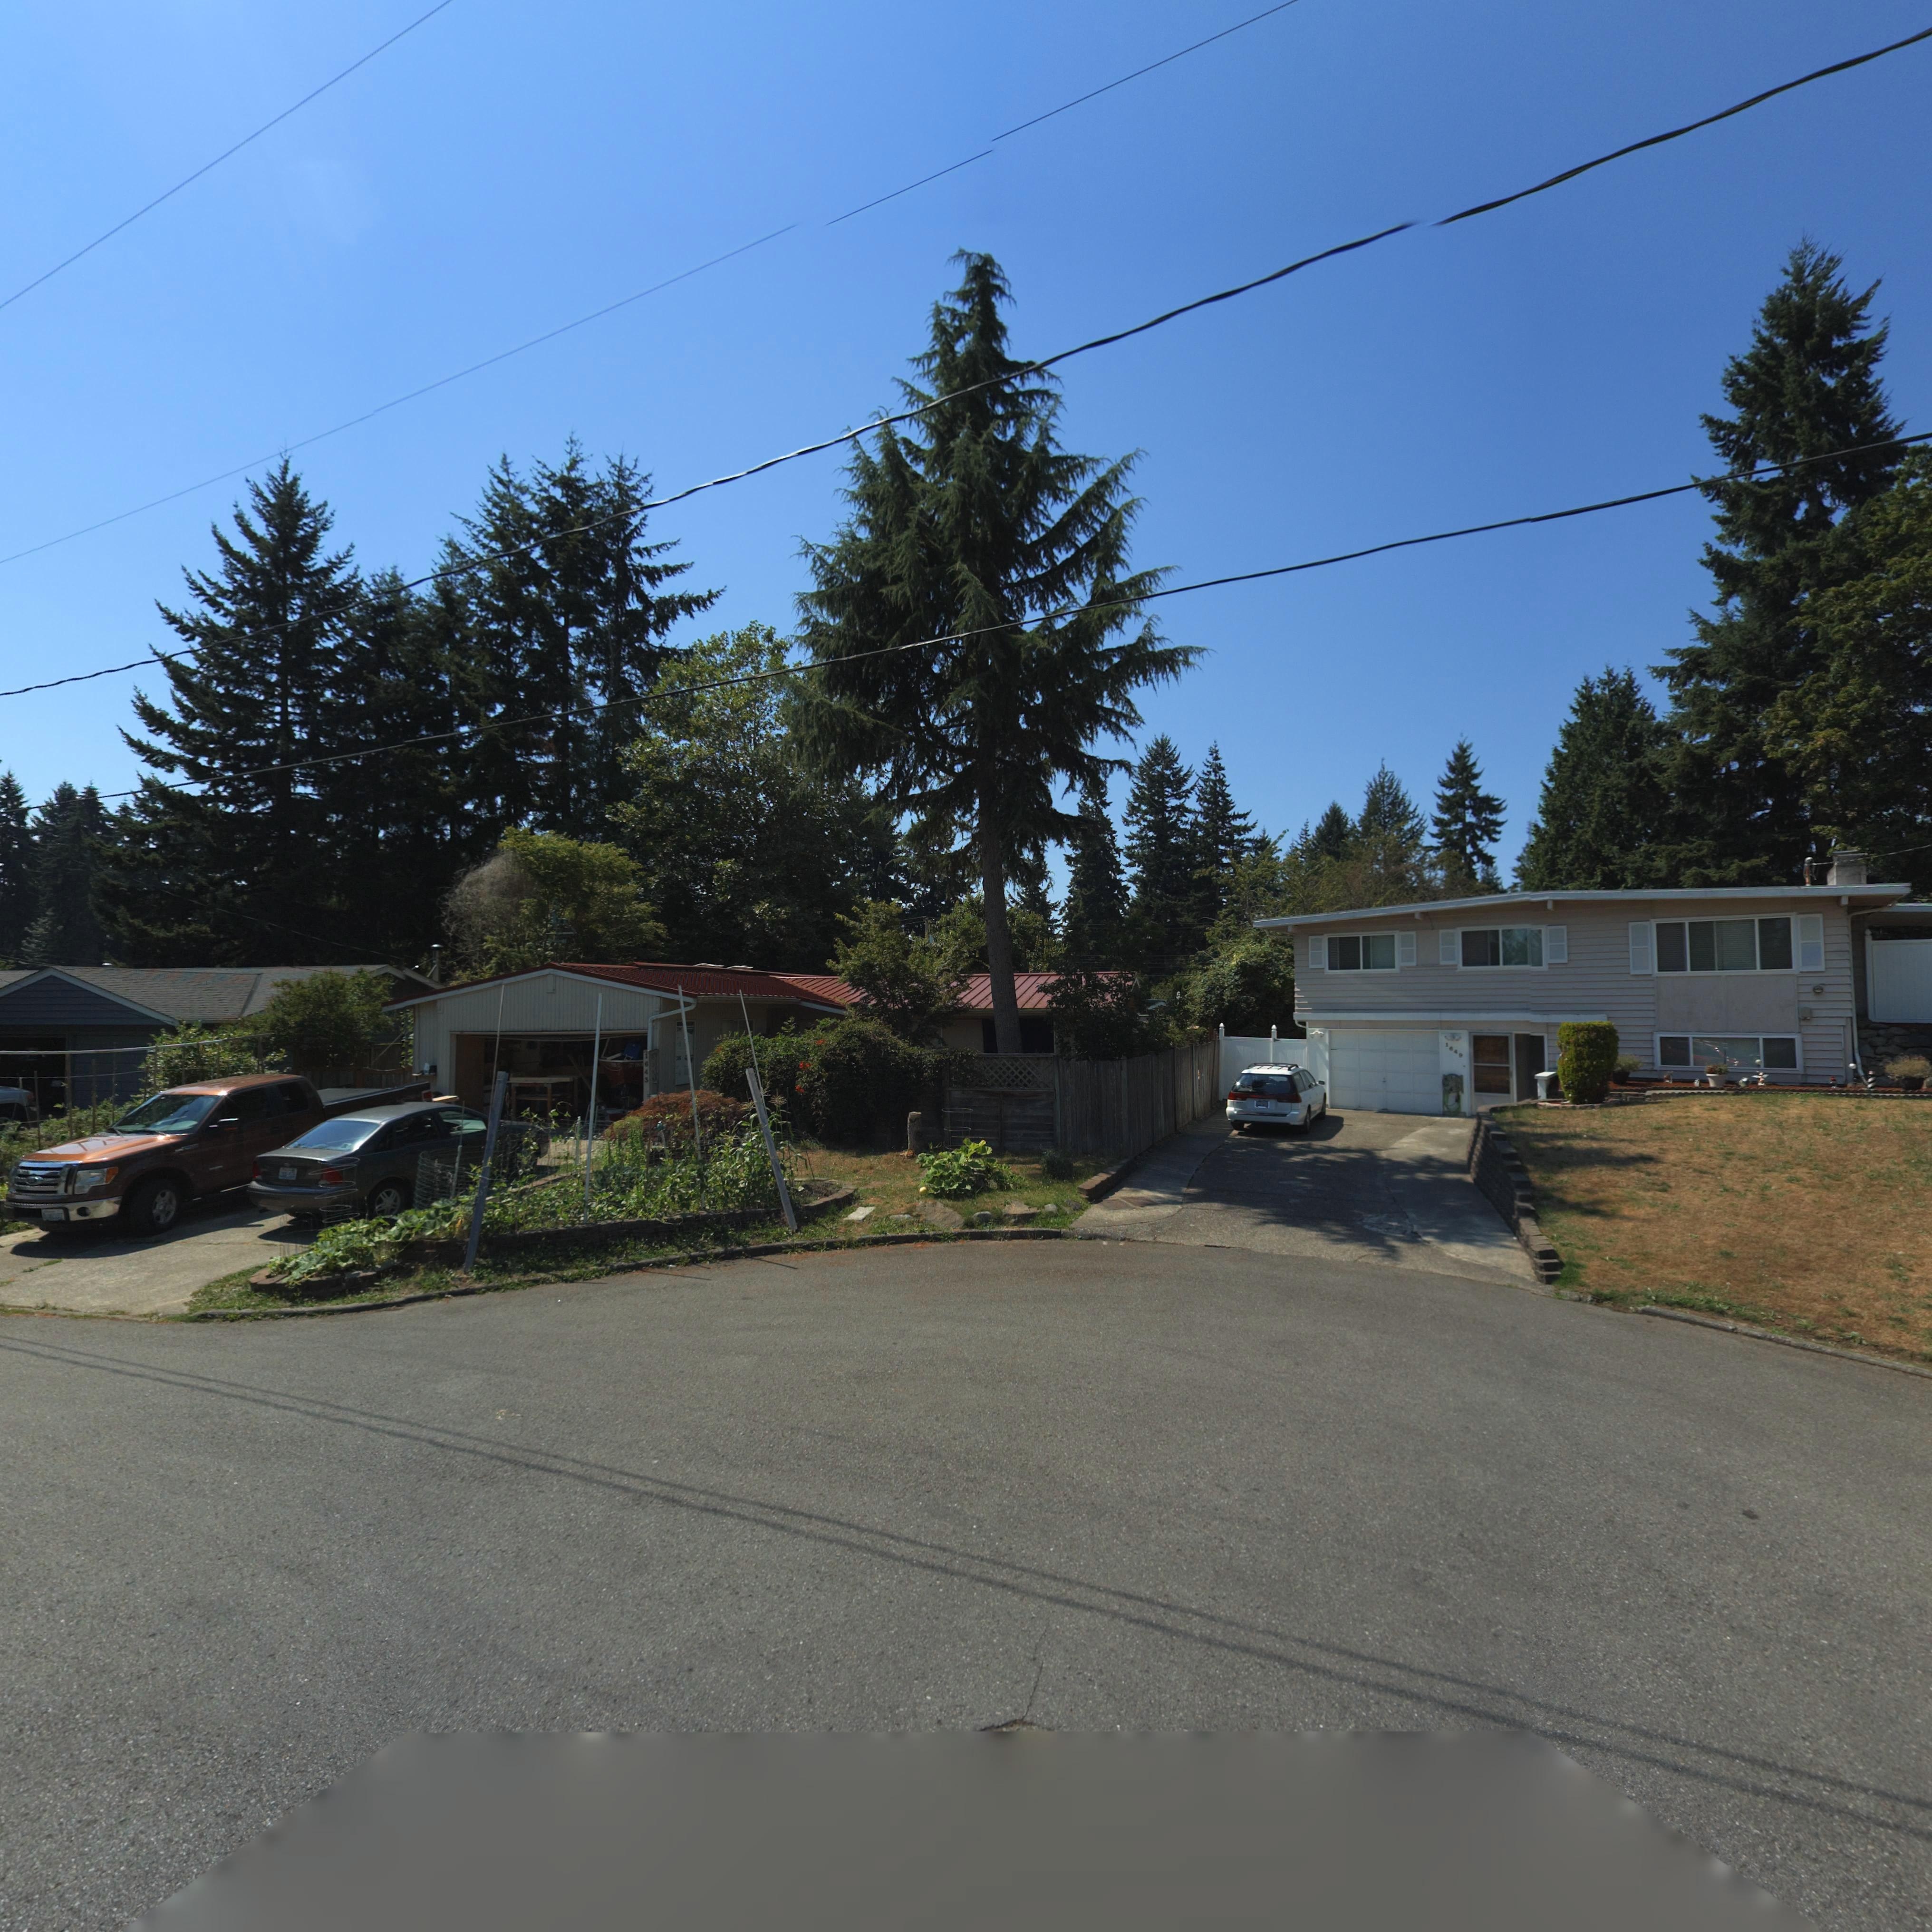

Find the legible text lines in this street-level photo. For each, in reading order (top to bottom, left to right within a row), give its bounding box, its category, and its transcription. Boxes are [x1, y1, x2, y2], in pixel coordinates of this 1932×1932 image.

[644, 1052, 649, 1083] StreetNumber: 1643